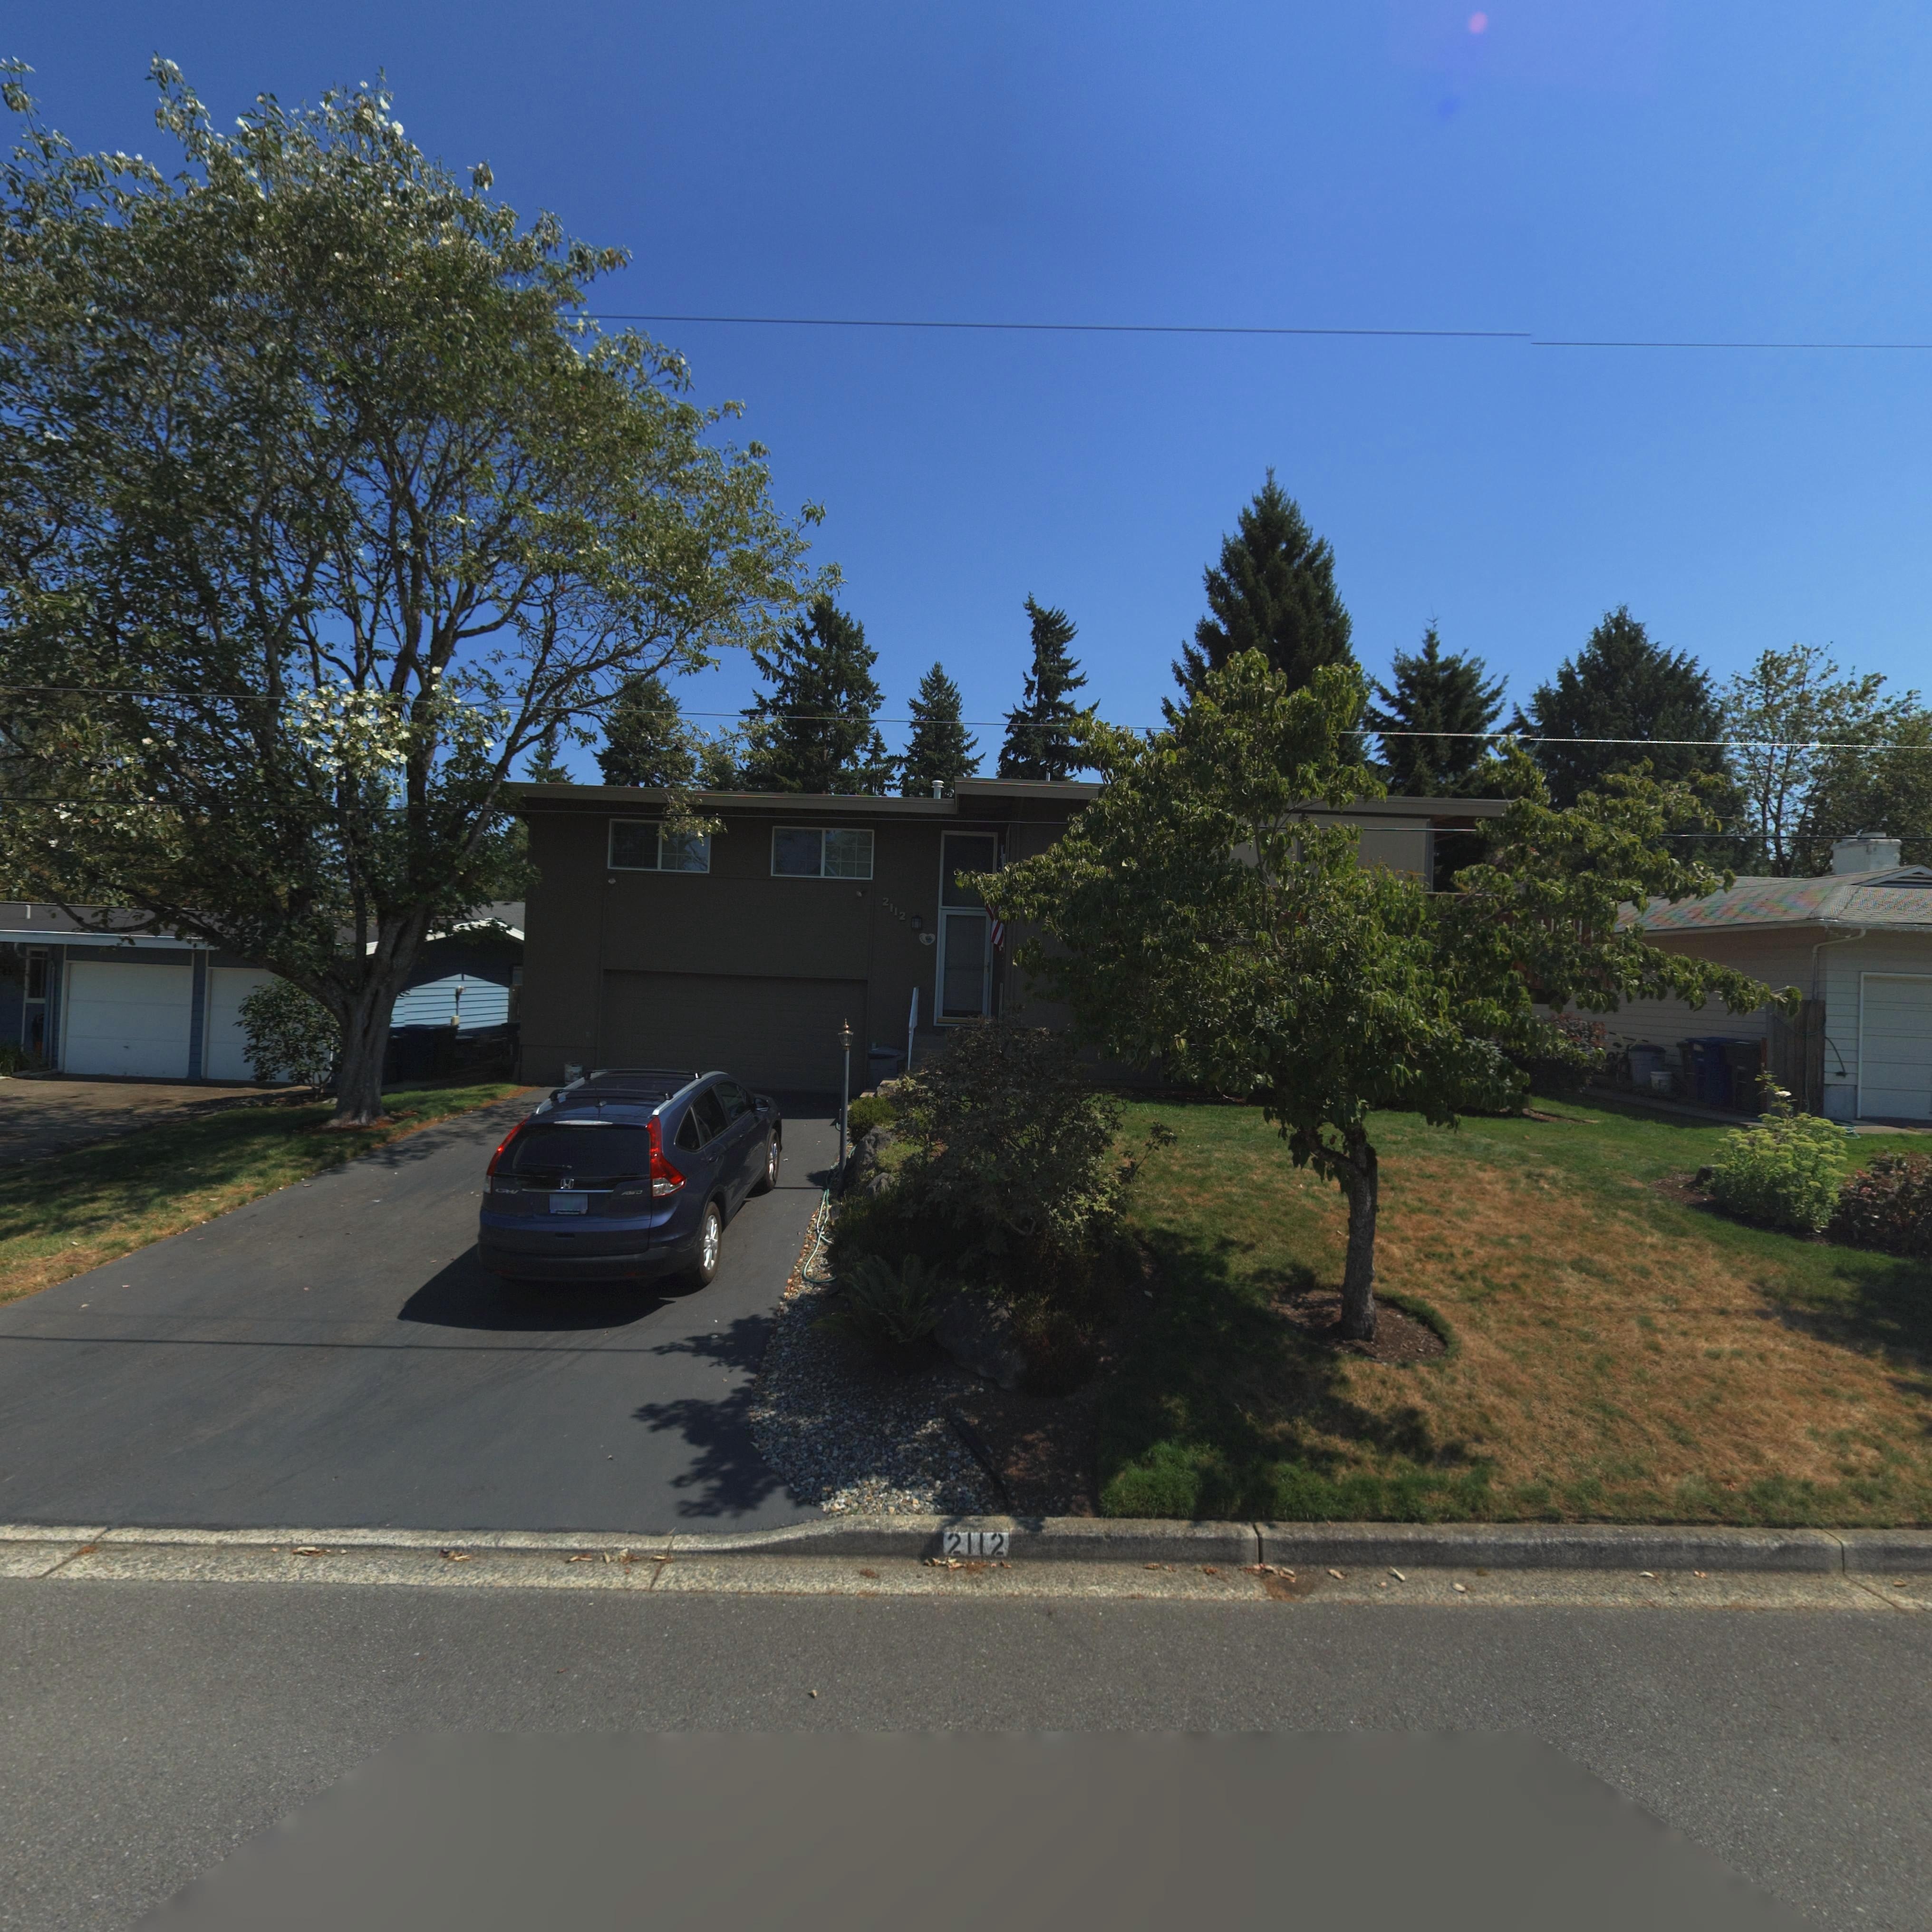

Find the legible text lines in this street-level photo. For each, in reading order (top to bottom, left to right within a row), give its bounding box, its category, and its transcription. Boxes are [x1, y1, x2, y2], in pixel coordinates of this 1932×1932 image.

[878, 893, 908, 926] StreetNumber: 2112
[944, 1531, 1007, 1558] StreetNumber: 2112